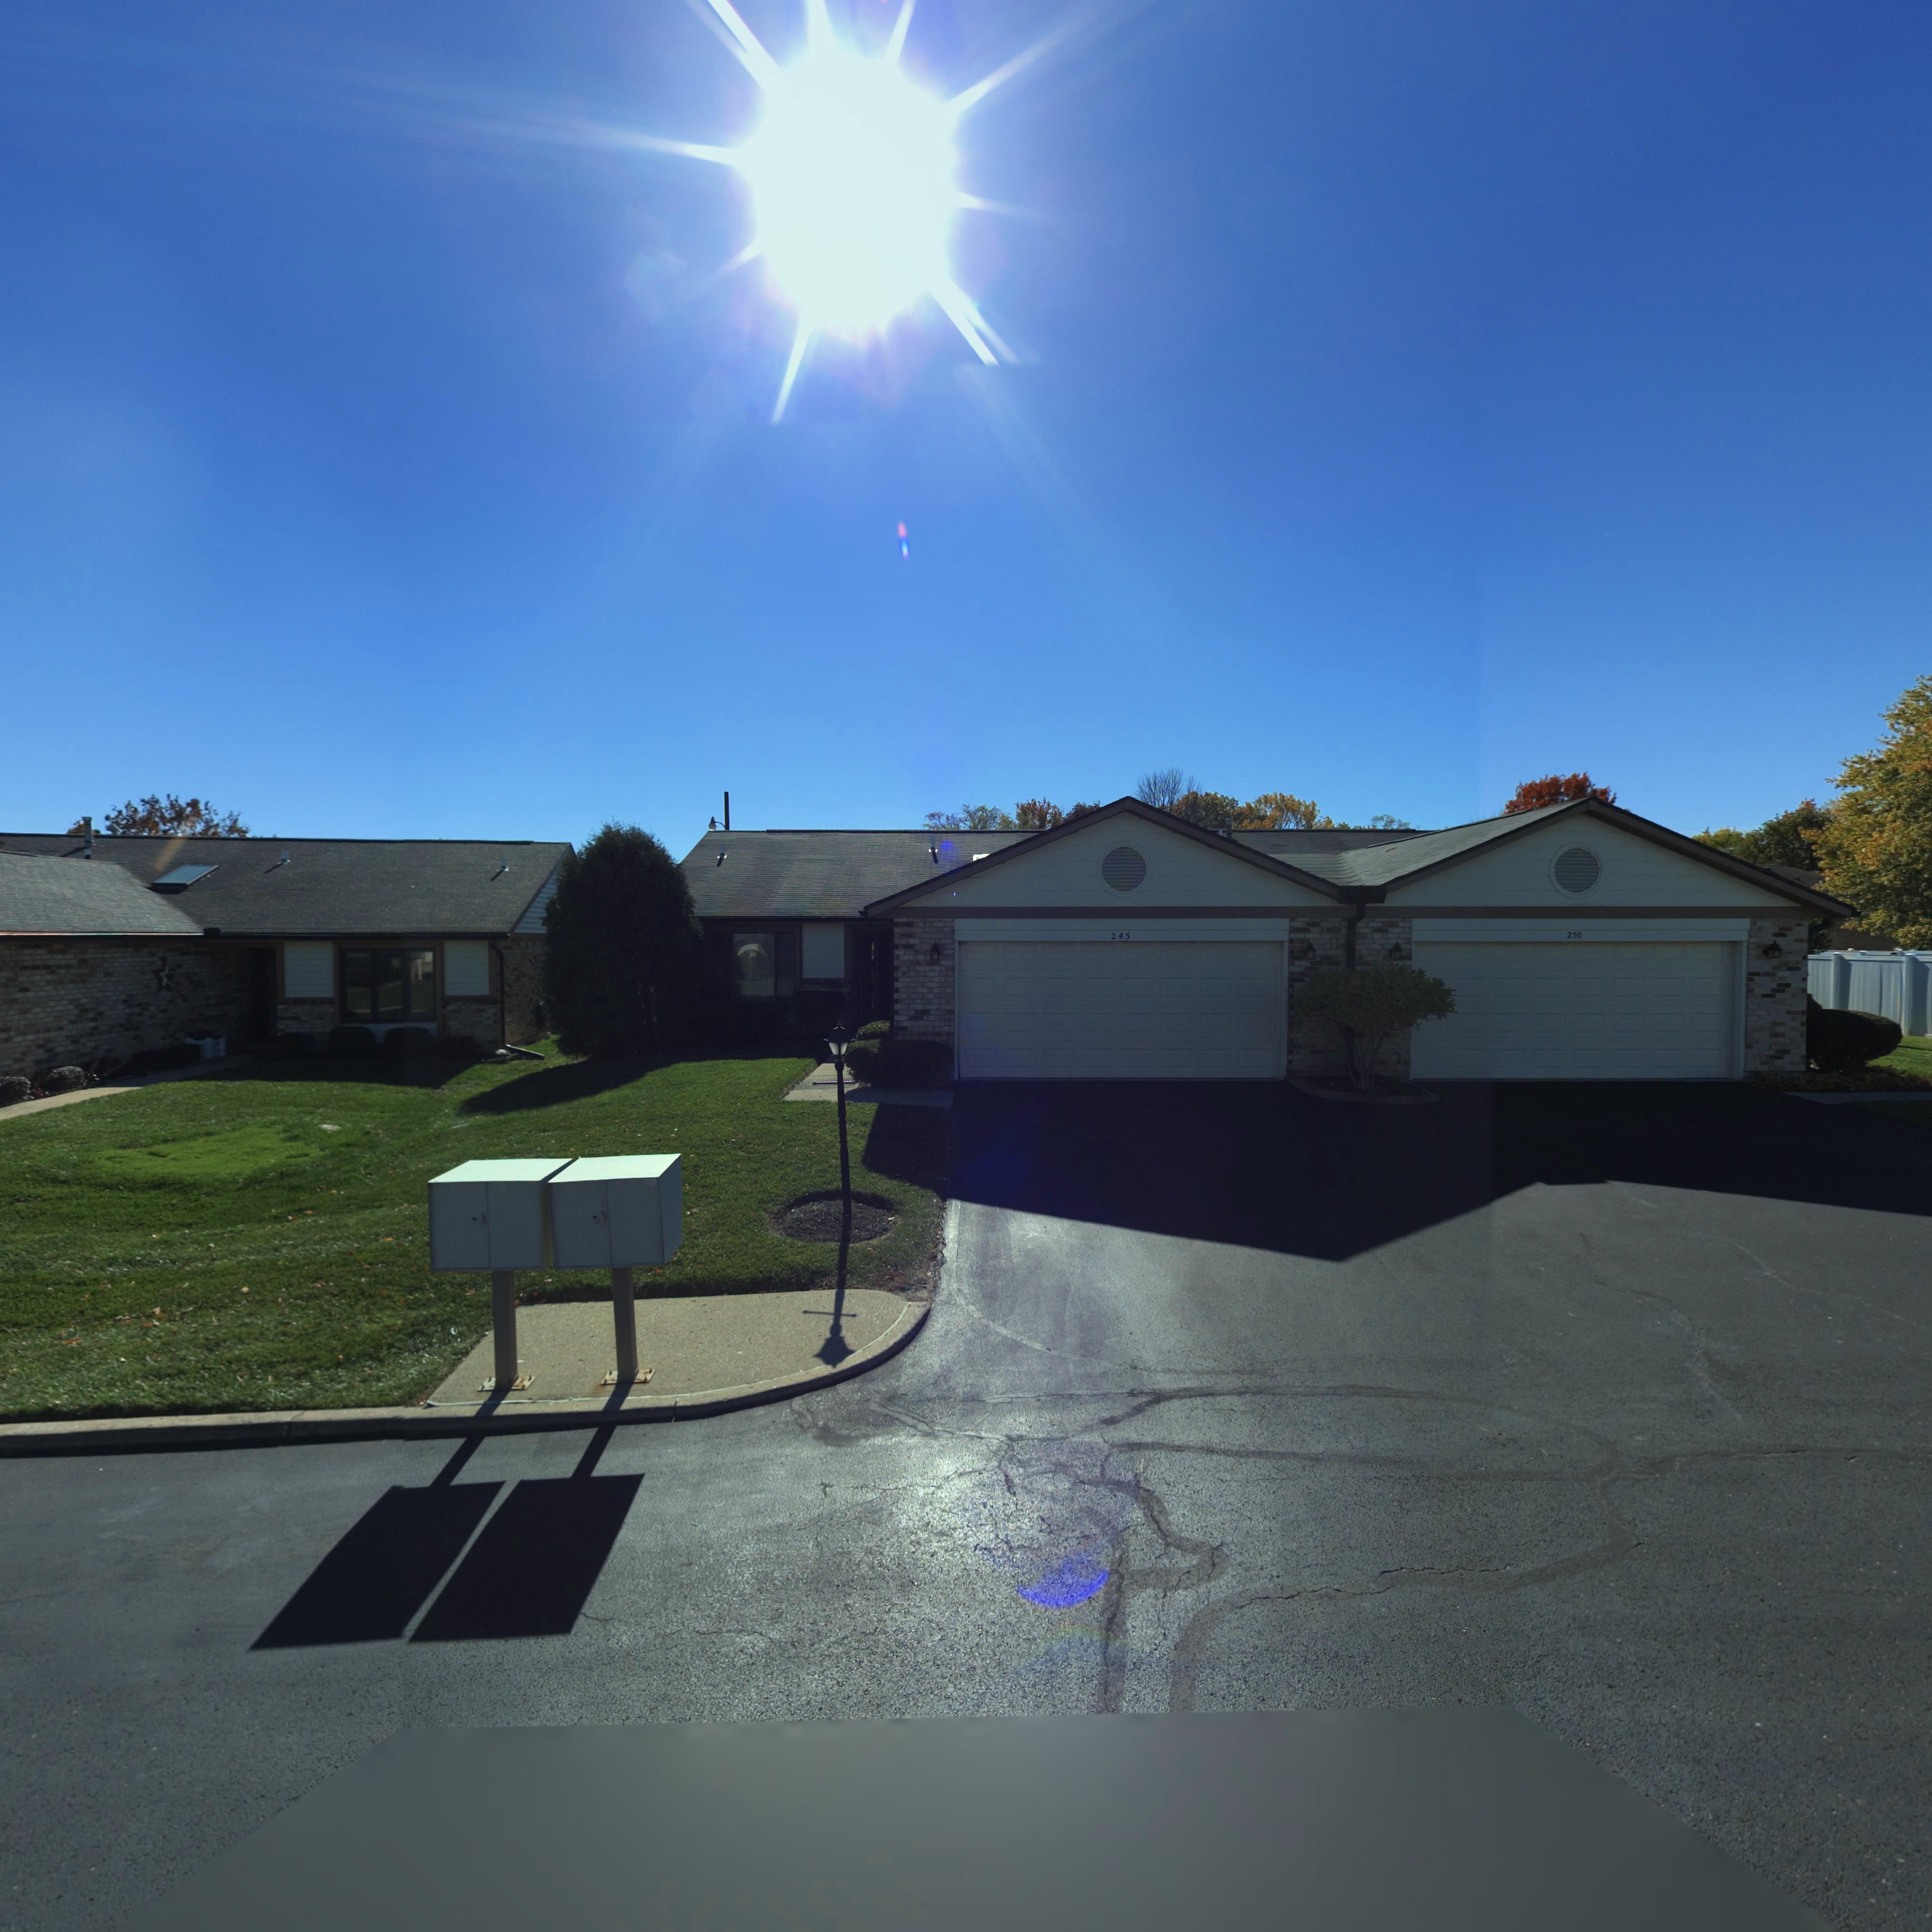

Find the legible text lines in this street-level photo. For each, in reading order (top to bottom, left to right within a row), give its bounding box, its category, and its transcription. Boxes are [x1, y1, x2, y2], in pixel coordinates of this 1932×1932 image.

[1111, 932, 1130, 940] StreetNumber: 245
[1566, 931, 1583, 939] StreetNumber: 250